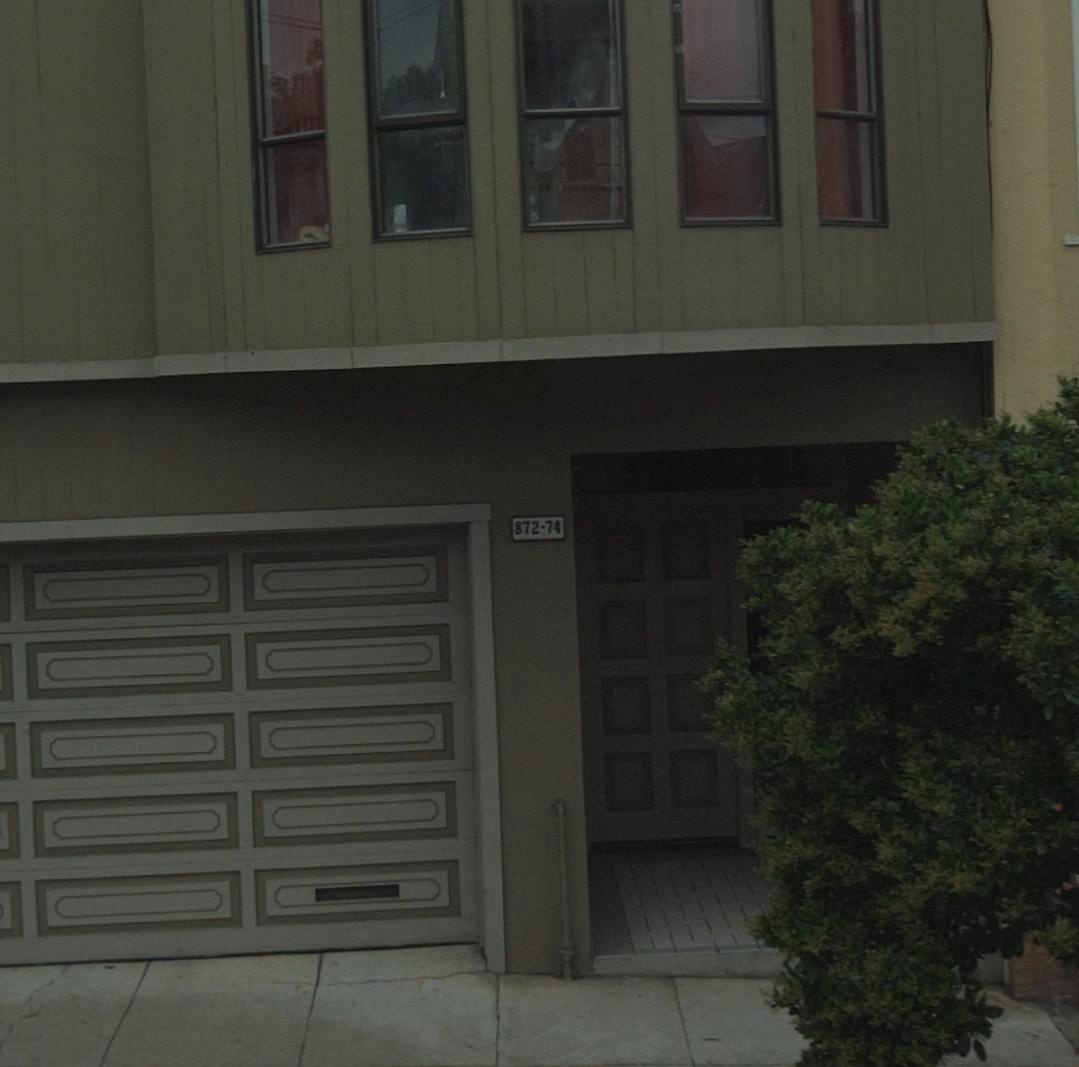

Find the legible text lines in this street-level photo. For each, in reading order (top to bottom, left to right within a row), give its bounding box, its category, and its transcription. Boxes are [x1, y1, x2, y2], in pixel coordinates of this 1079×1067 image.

[513, 518, 562, 536] StreetNumber: 872-74